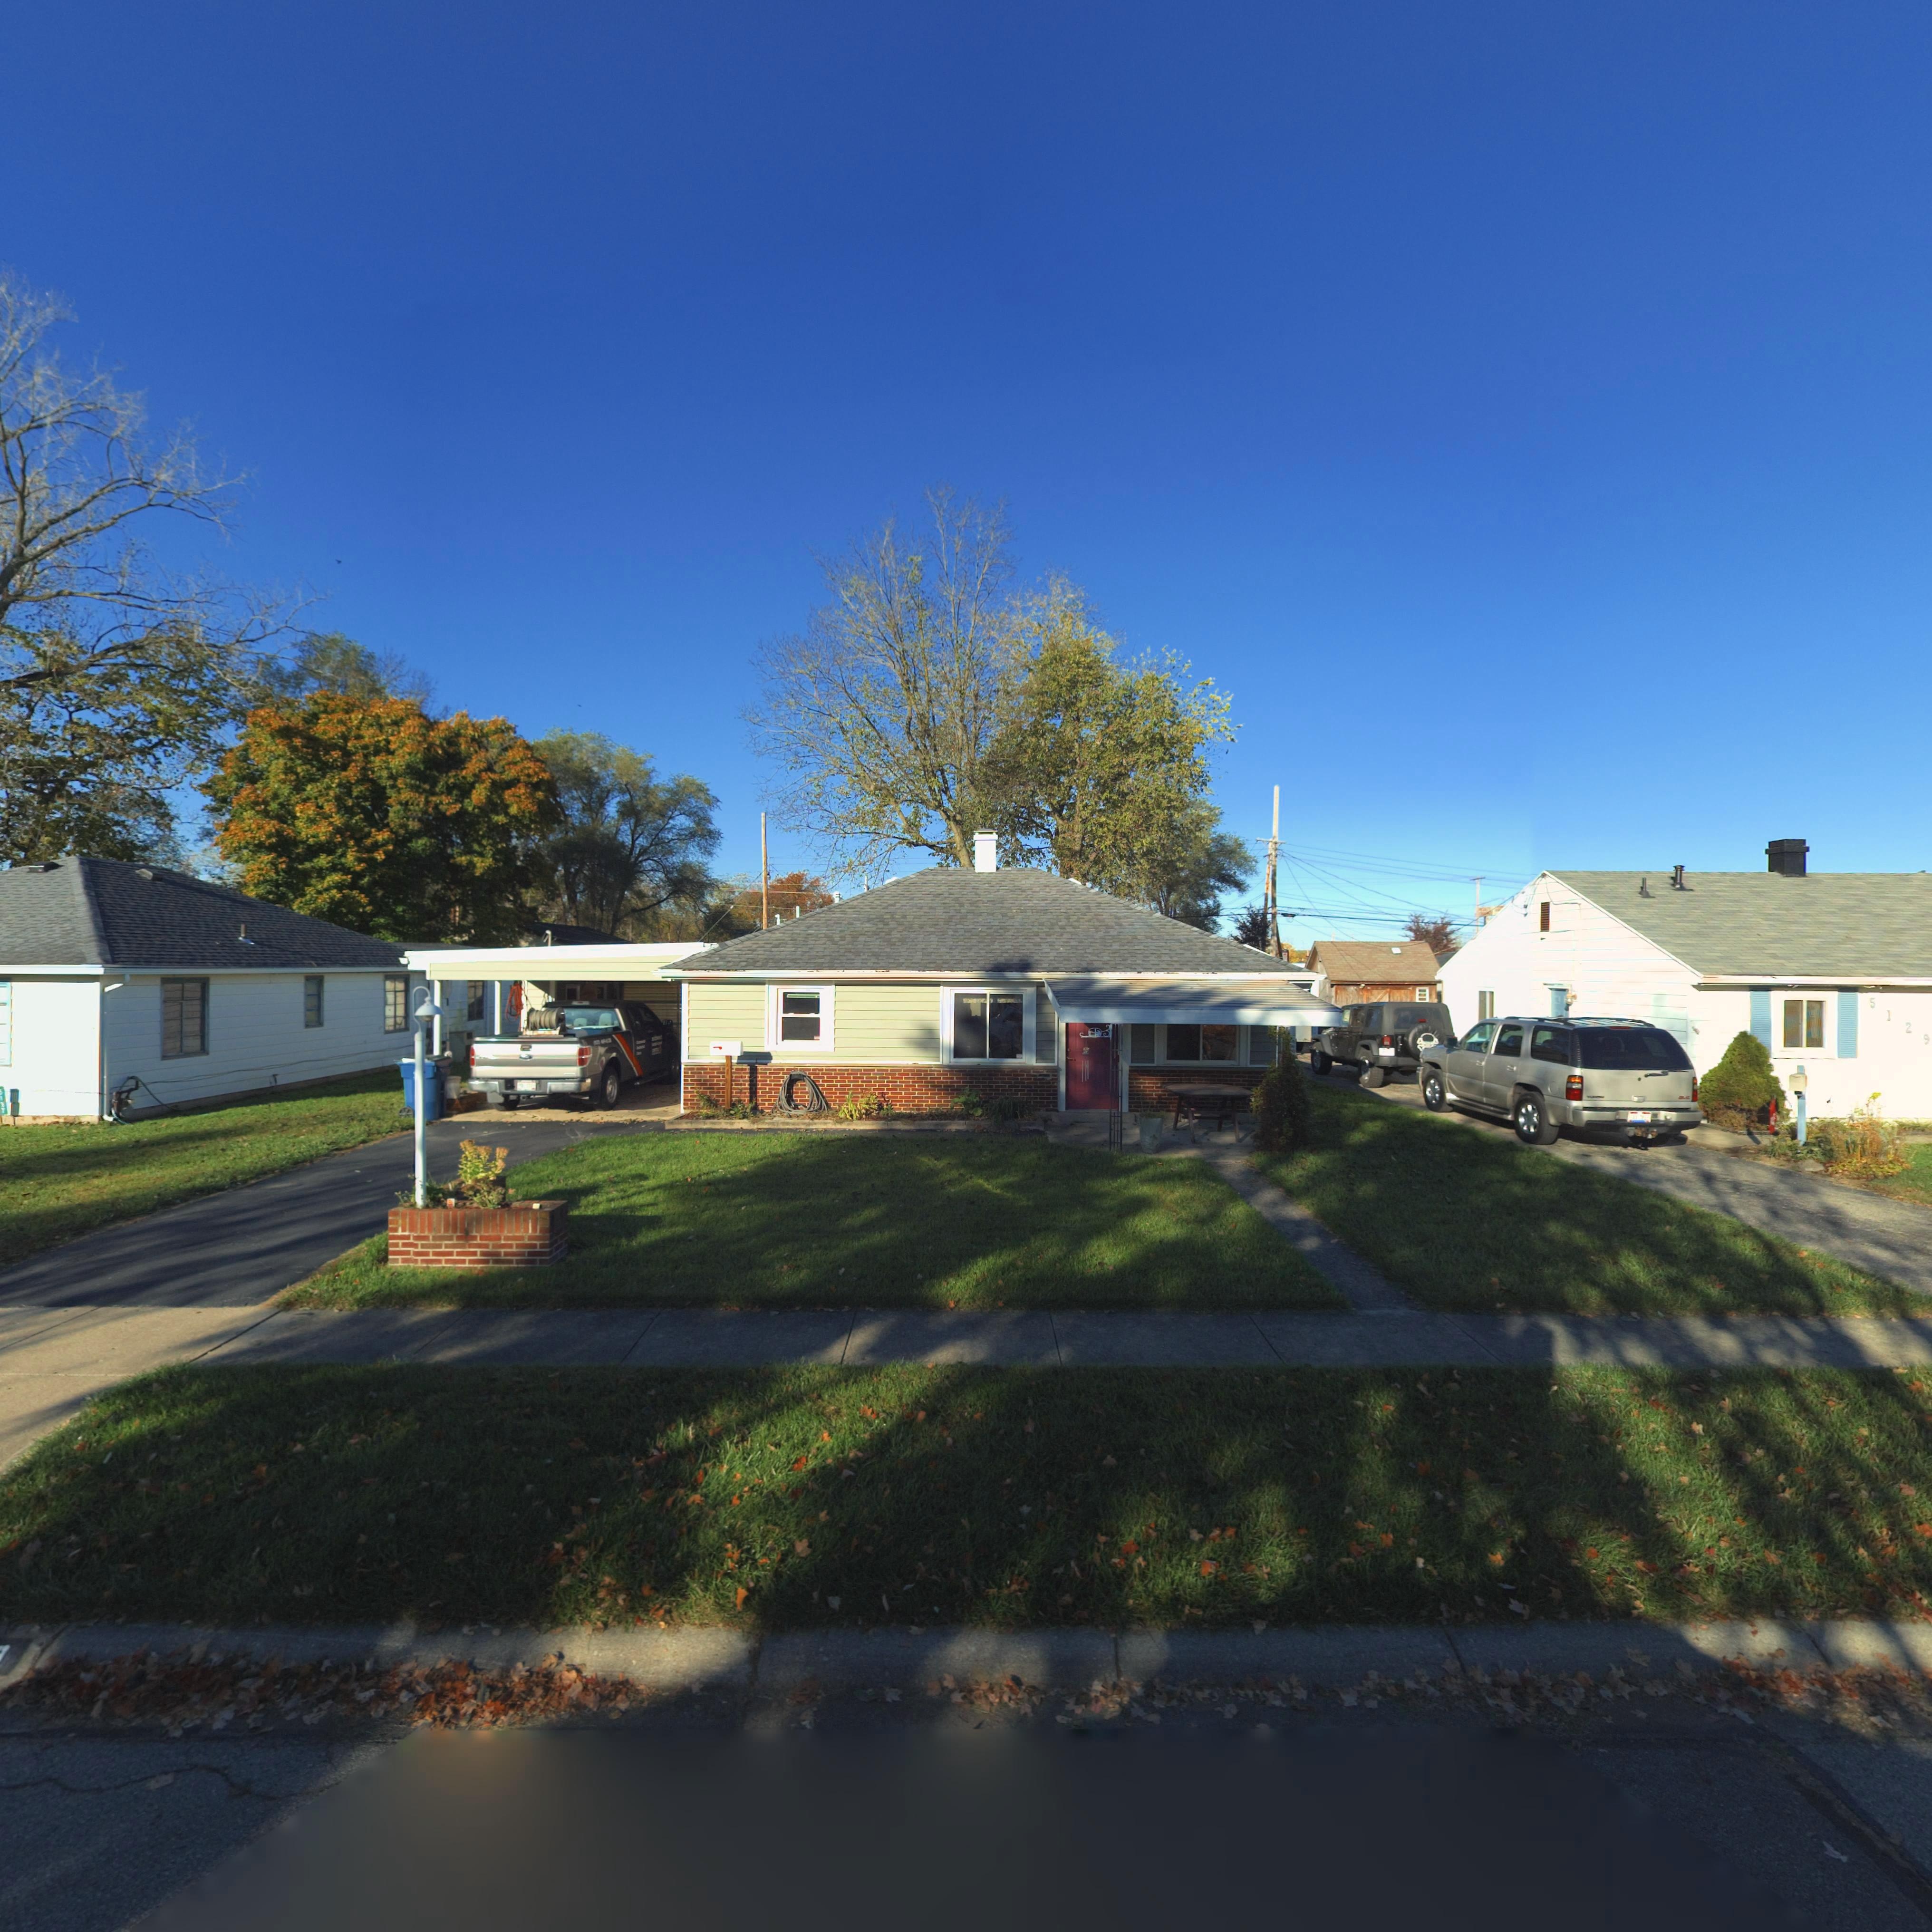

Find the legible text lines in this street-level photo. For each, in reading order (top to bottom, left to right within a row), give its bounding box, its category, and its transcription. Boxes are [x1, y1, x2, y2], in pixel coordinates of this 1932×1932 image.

[1869, 997, 1930, 1045] StreetNumber: 5129
[0, 1095, 6, 1114] StreetNumber: 137